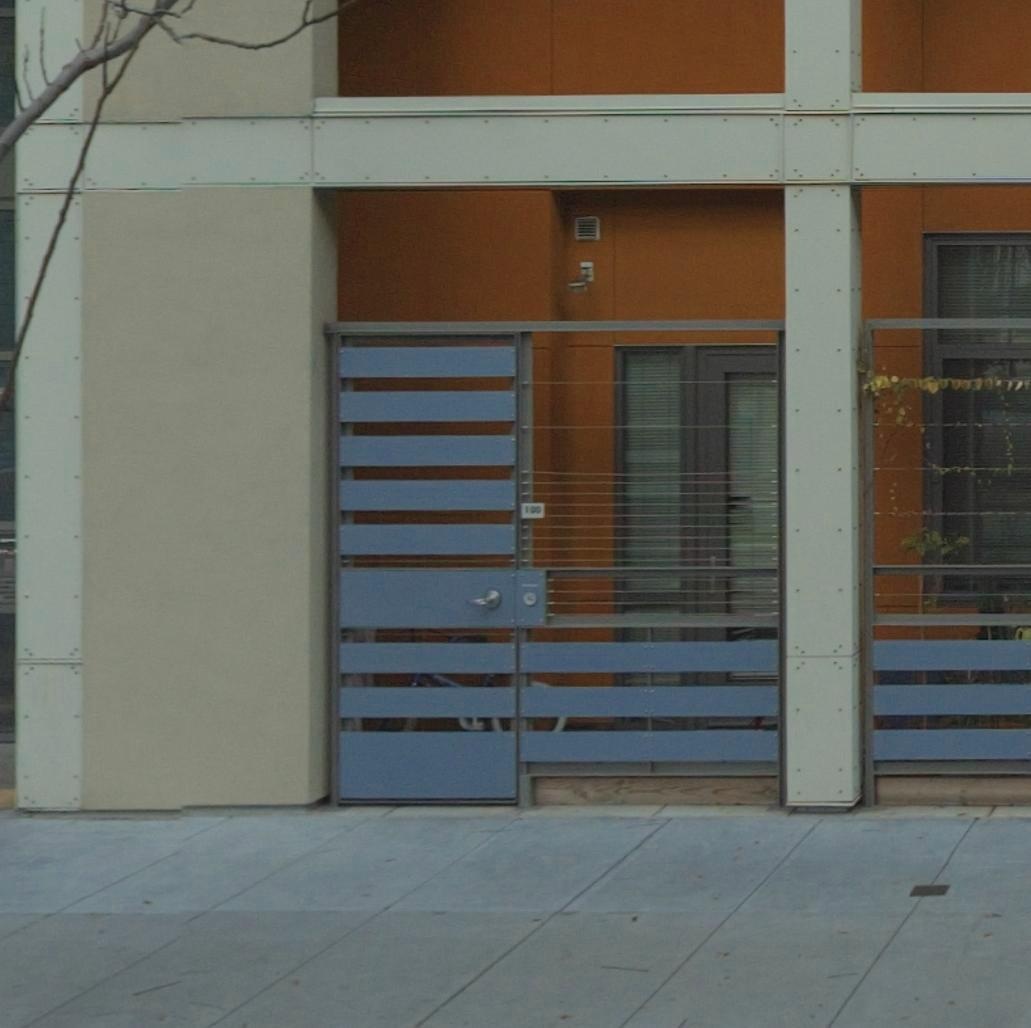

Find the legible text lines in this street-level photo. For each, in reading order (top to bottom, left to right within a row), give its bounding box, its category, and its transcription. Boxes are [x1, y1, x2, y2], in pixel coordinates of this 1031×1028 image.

[522, 503, 544, 517] StreetNumber: 100